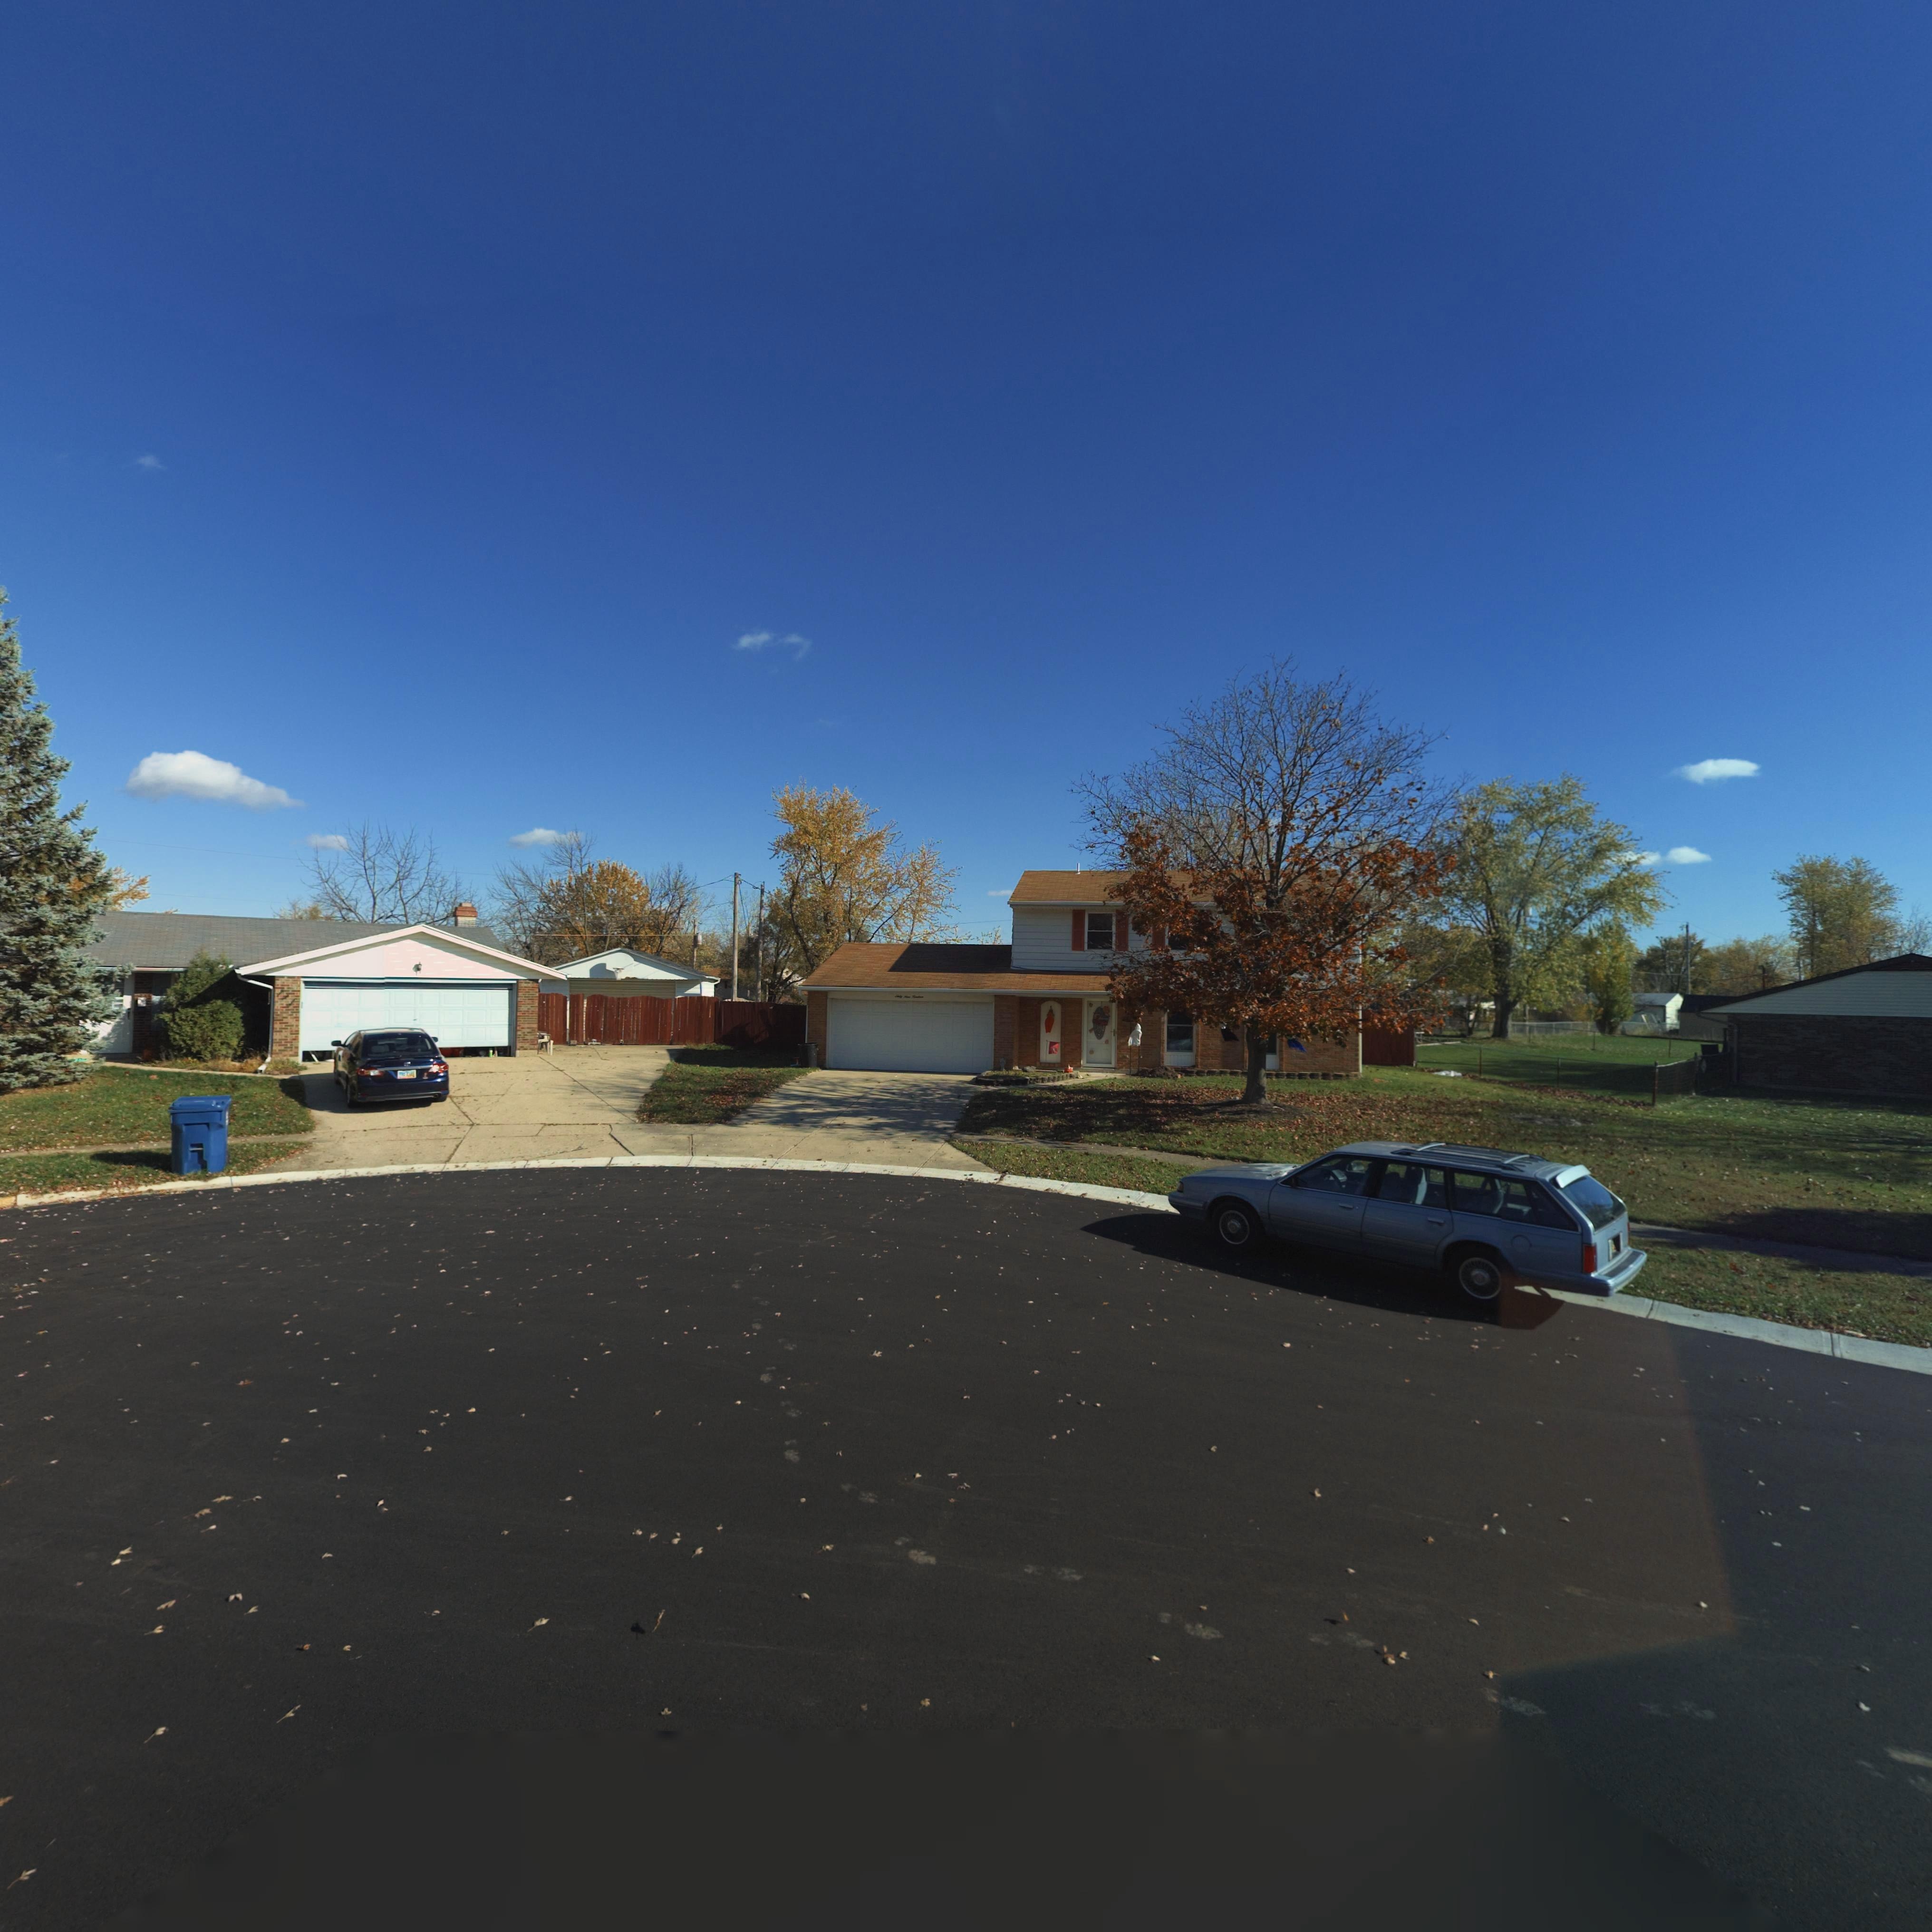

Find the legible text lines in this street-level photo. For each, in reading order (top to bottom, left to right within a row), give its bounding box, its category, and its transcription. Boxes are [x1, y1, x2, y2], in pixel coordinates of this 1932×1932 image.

[894, 994, 924, 999] StreetNumber: Sixty Nine Nineteen